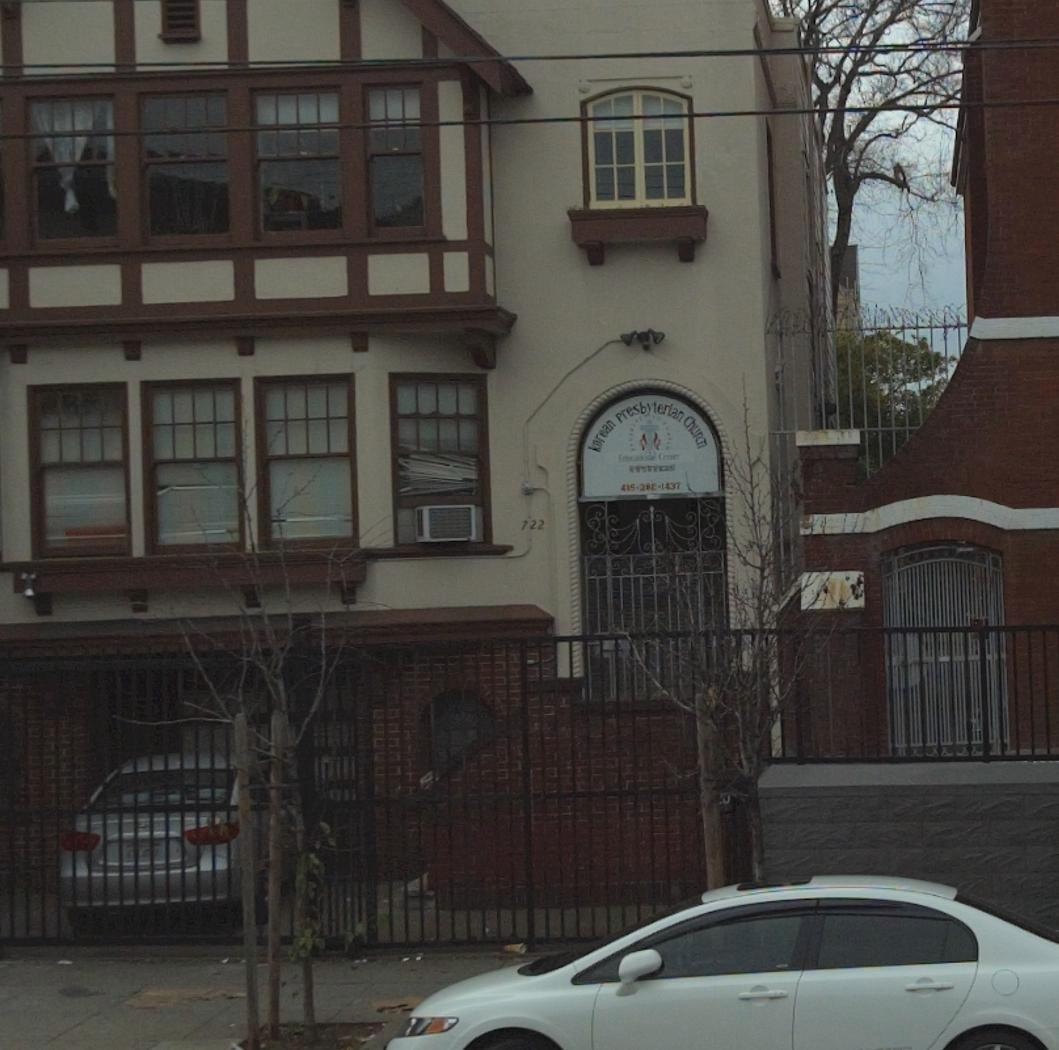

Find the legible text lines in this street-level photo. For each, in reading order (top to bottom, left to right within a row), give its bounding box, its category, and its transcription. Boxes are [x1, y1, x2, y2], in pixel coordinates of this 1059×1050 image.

[586, 399, 709, 454] BusinessName: Korean Presbyterian Church
[618, 480, 683, 492] None: 415-28*-1437
[520, 518, 545, 531] StreetNumber: 722